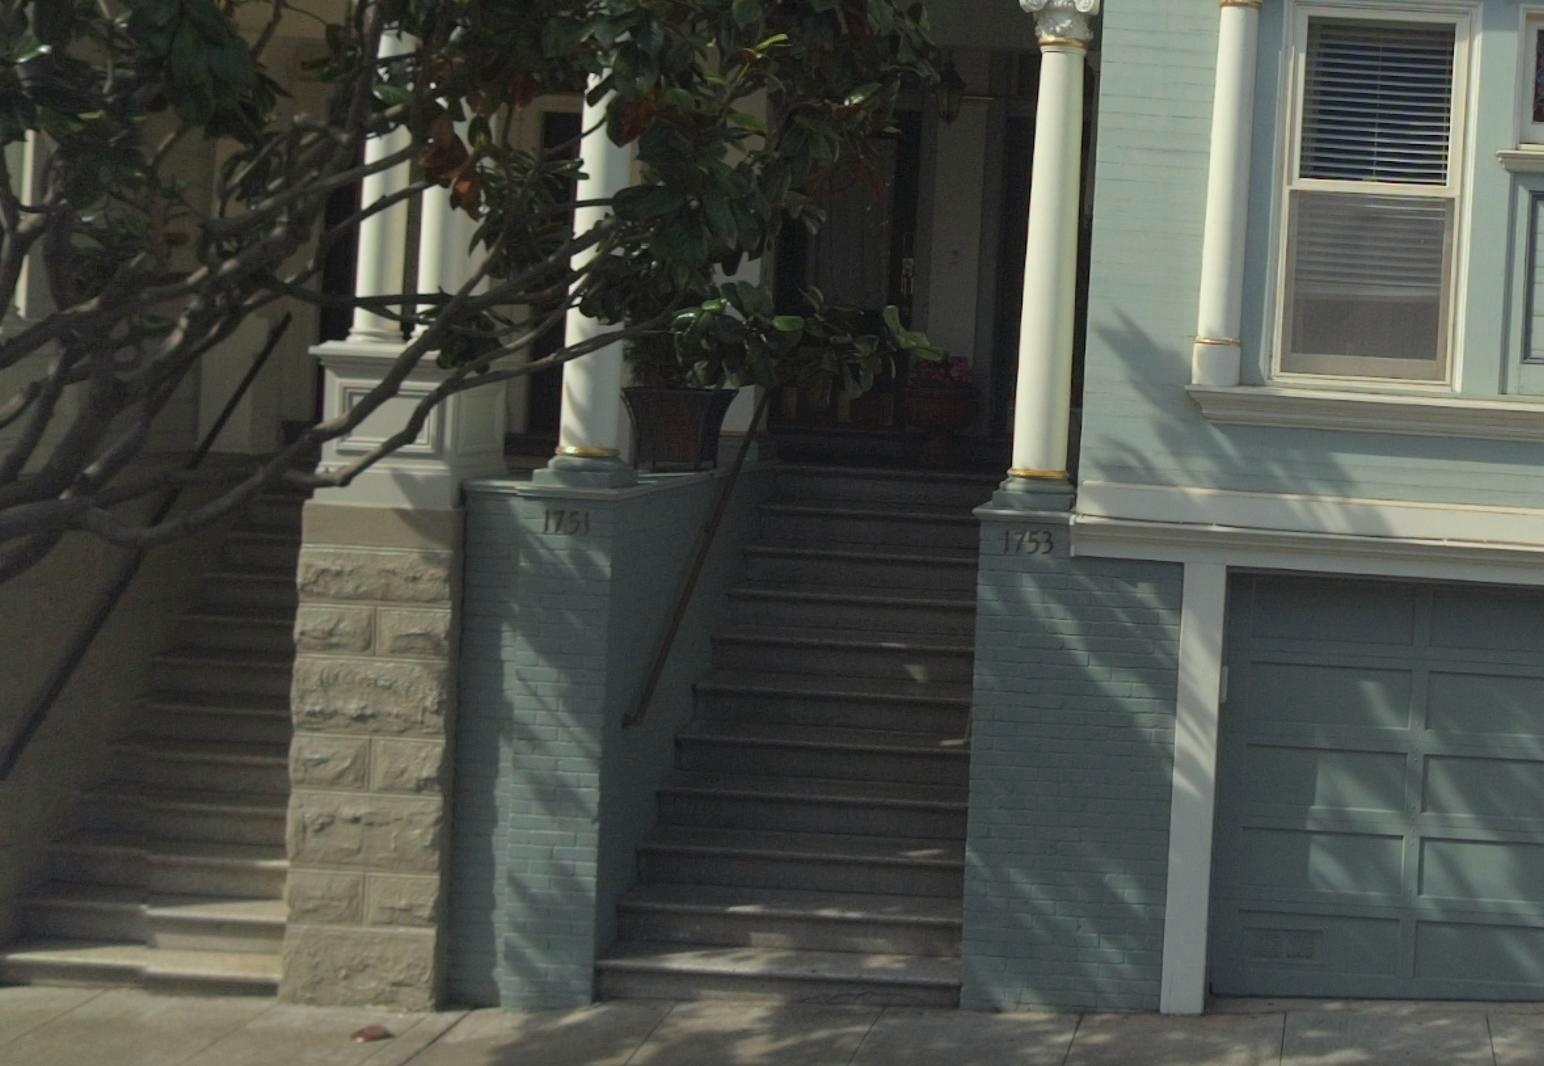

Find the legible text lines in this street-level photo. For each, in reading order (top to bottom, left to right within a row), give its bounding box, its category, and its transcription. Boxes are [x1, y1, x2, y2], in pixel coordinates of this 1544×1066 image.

[539, 506, 593, 537] StreetNumber: 1751
[1000, 526, 1056, 557] StreetNumber: 1753